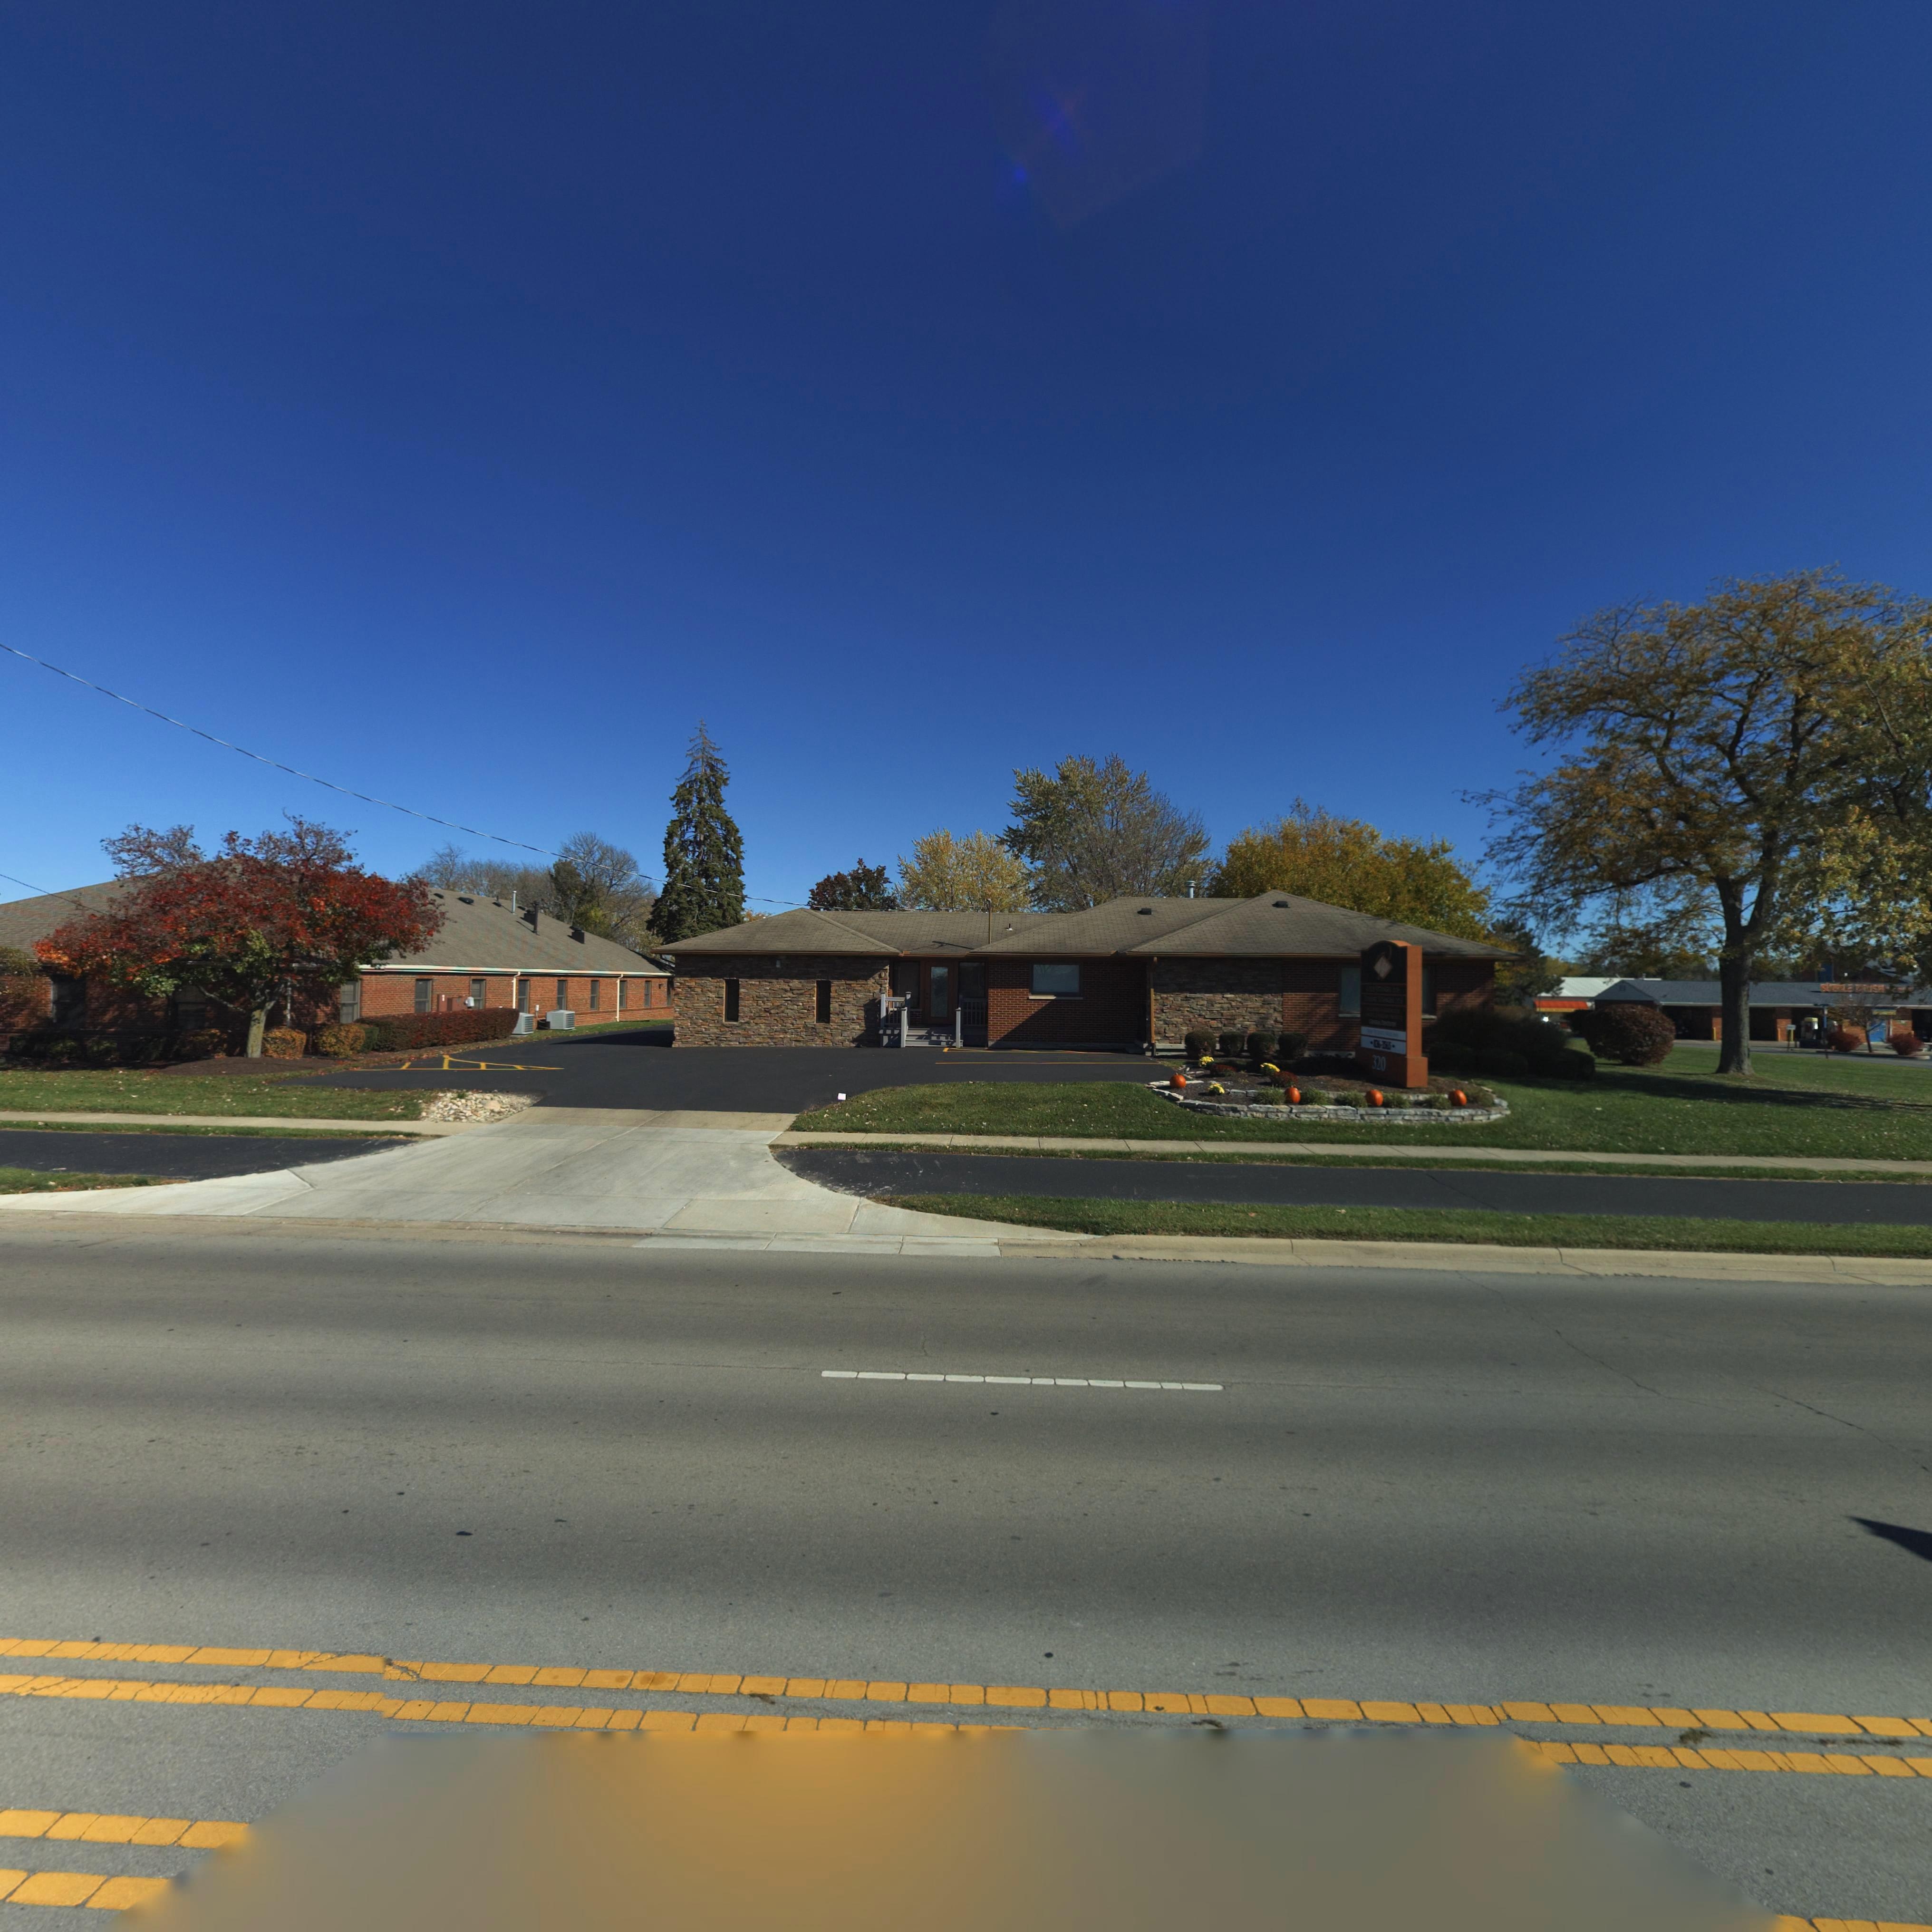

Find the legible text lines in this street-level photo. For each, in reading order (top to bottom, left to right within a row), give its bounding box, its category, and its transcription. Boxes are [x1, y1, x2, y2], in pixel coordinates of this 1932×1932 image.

[1372, 1038, 1392, 1052] None: *36-3565
[1370, 1053, 1387, 1073] StreetNumber: 320